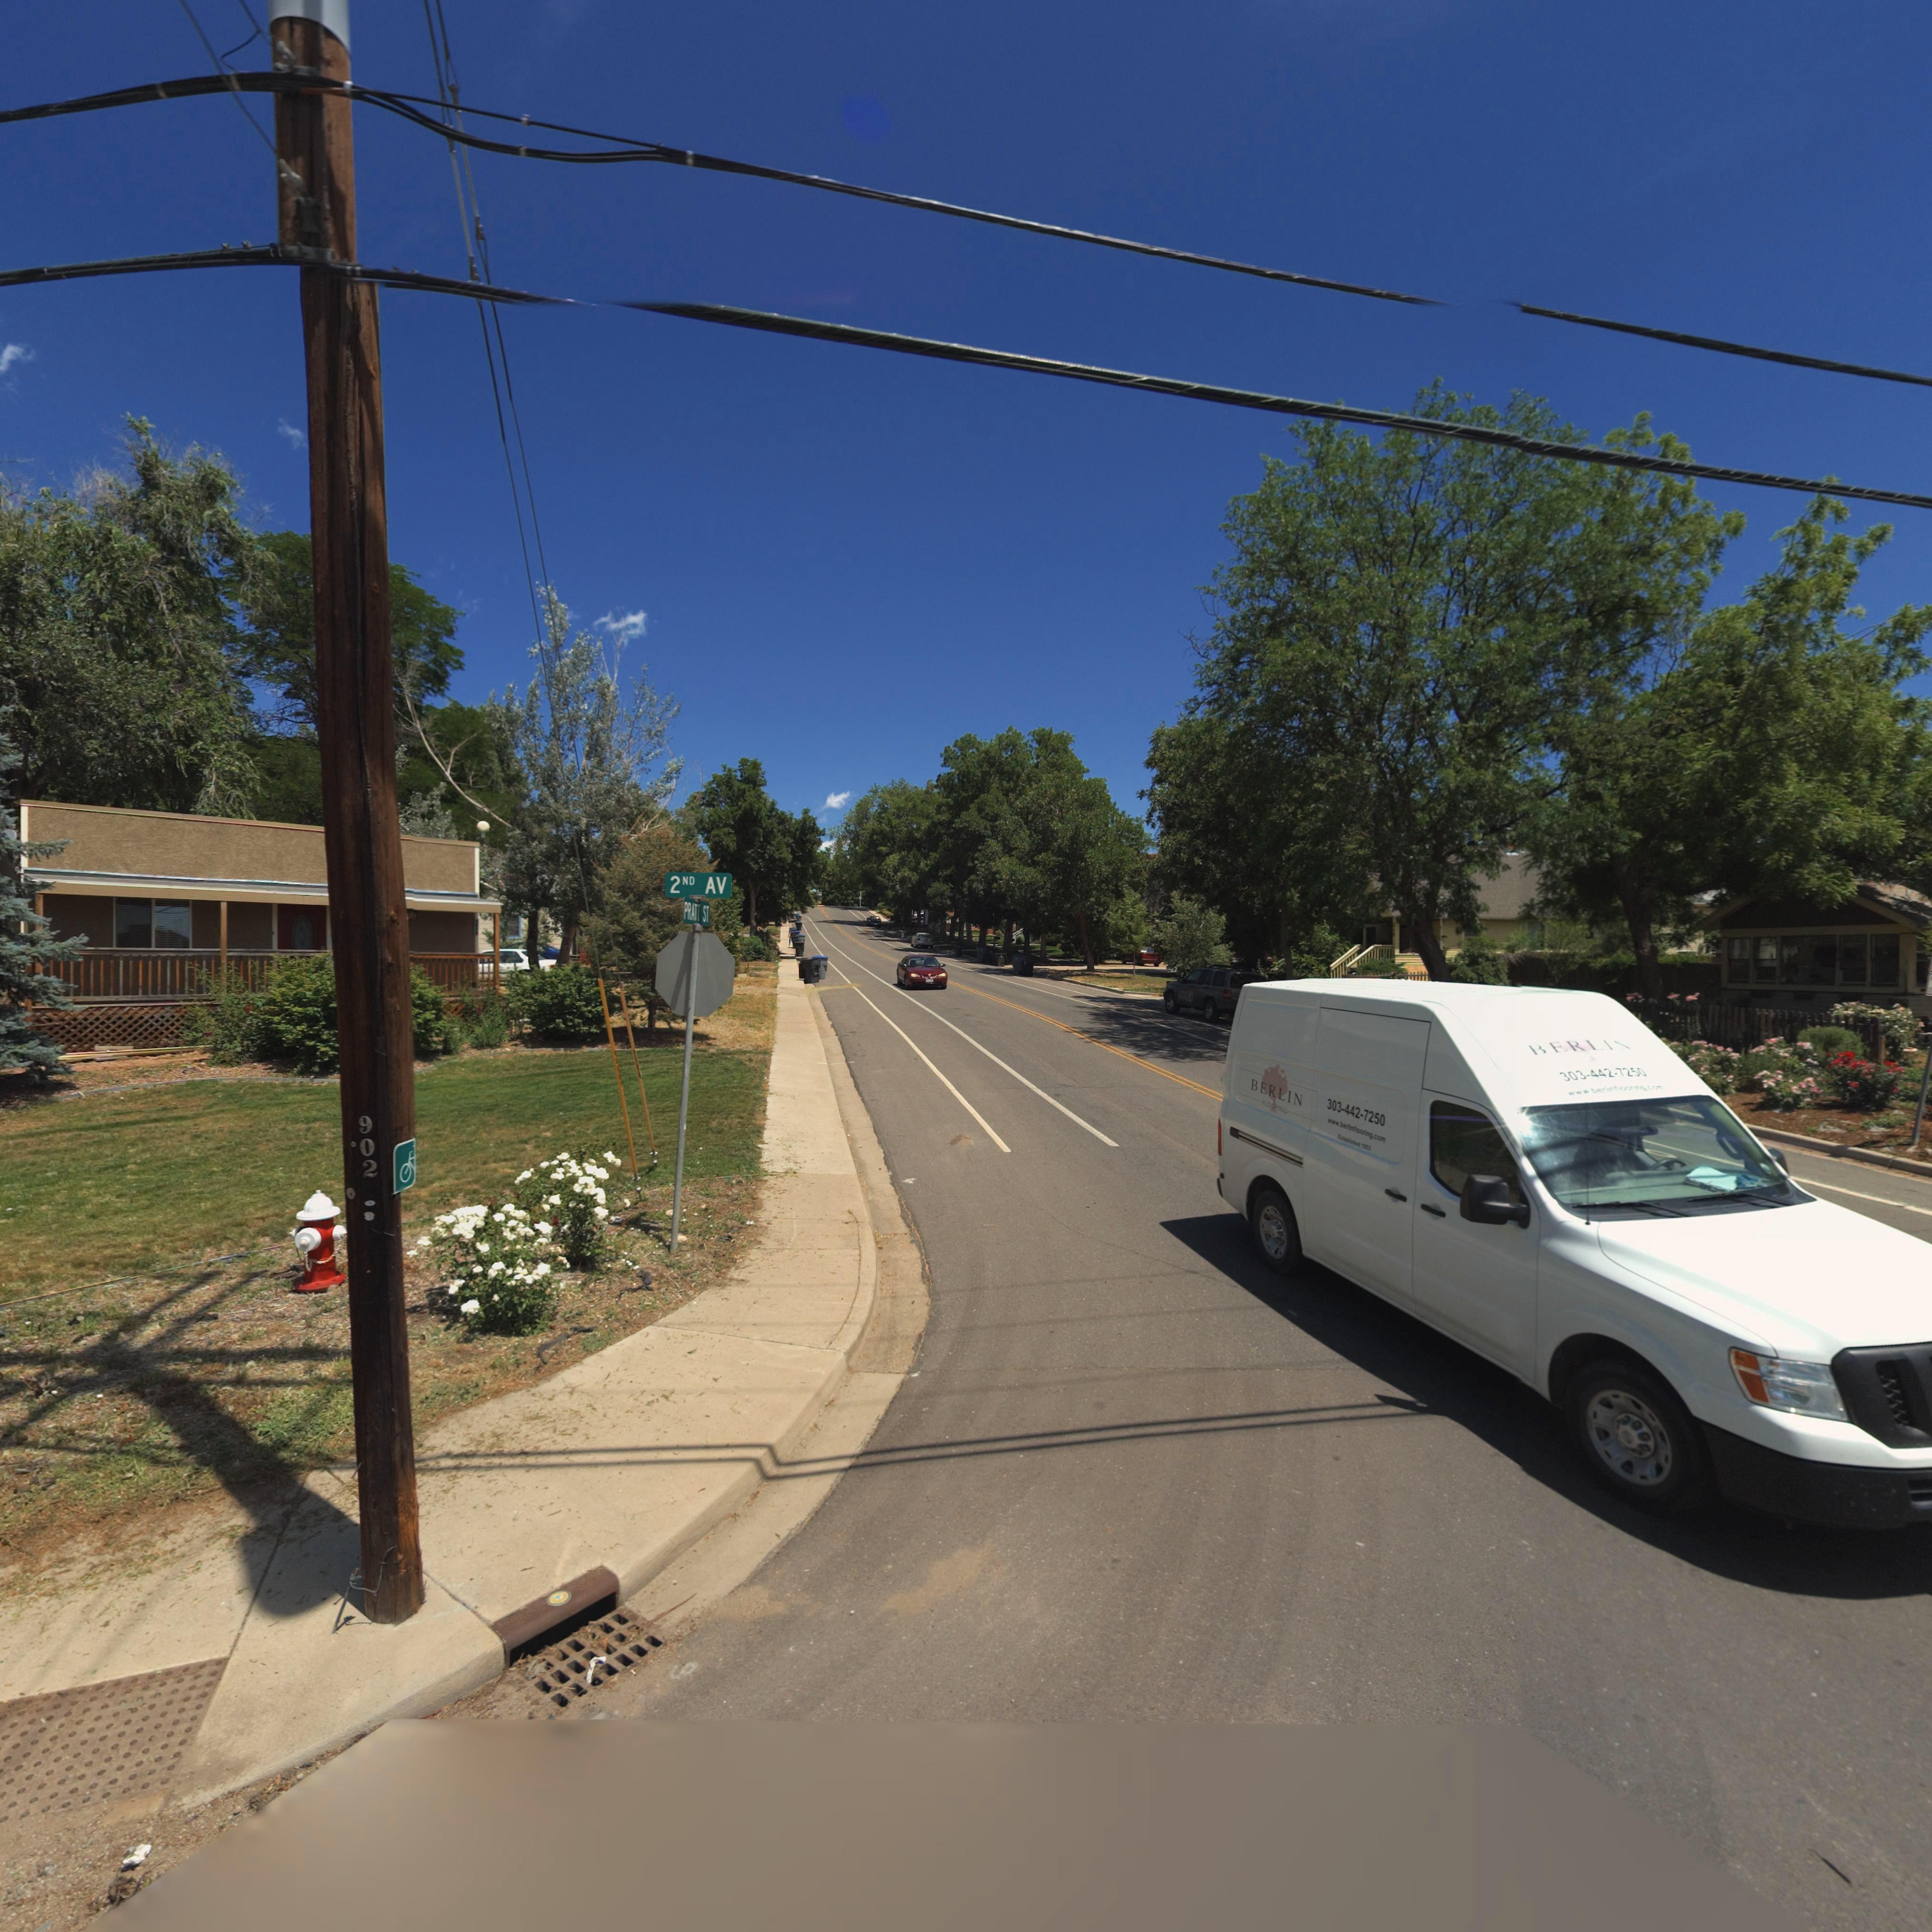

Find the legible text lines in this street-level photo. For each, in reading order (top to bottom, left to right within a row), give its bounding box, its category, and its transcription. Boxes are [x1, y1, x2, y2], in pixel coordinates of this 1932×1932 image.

[669, 875, 727, 894] StreetName: 2ND AV
[683, 901, 709, 922] StreetName: PRATT ST